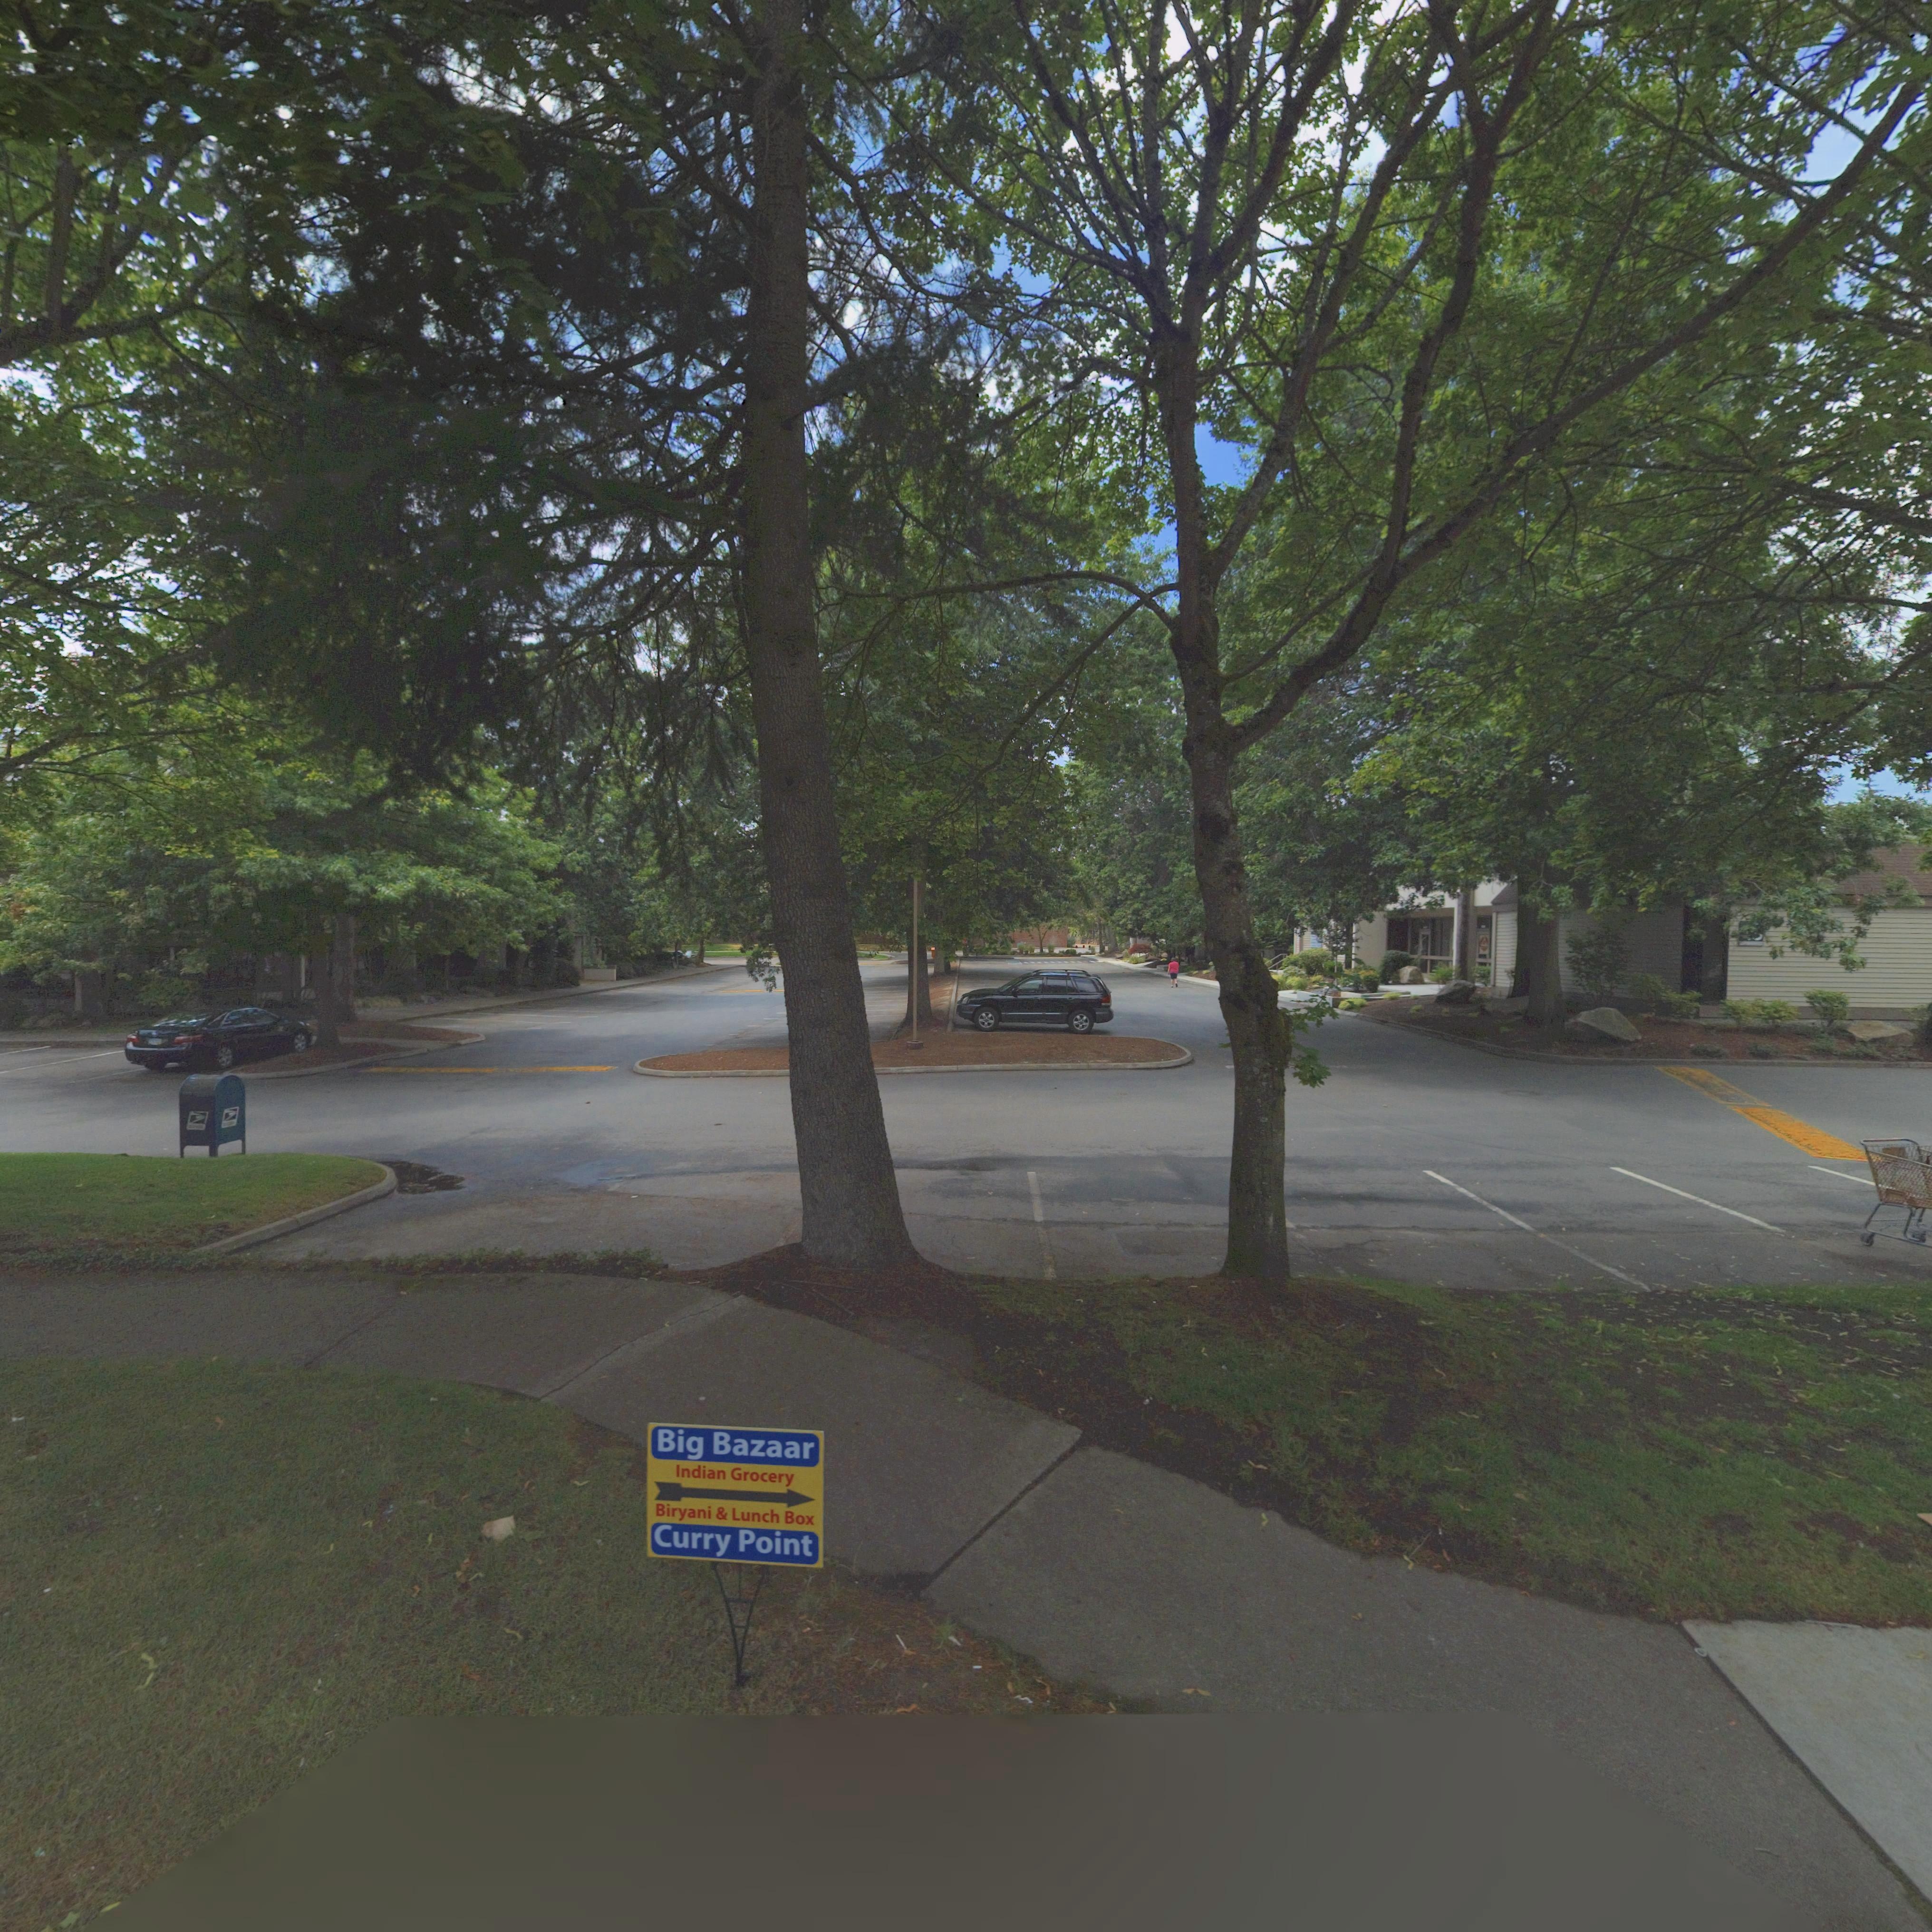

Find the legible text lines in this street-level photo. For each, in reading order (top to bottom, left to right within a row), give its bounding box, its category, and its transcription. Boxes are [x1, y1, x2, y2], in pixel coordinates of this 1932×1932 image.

[657, 1427, 817, 1464] BusinessName: Big Bazaar
[653, 1502, 816, 1526] BusinessName: Biryani * Lunch Box
[655, 1523, 814, 1559] BusinessName: Curry Point